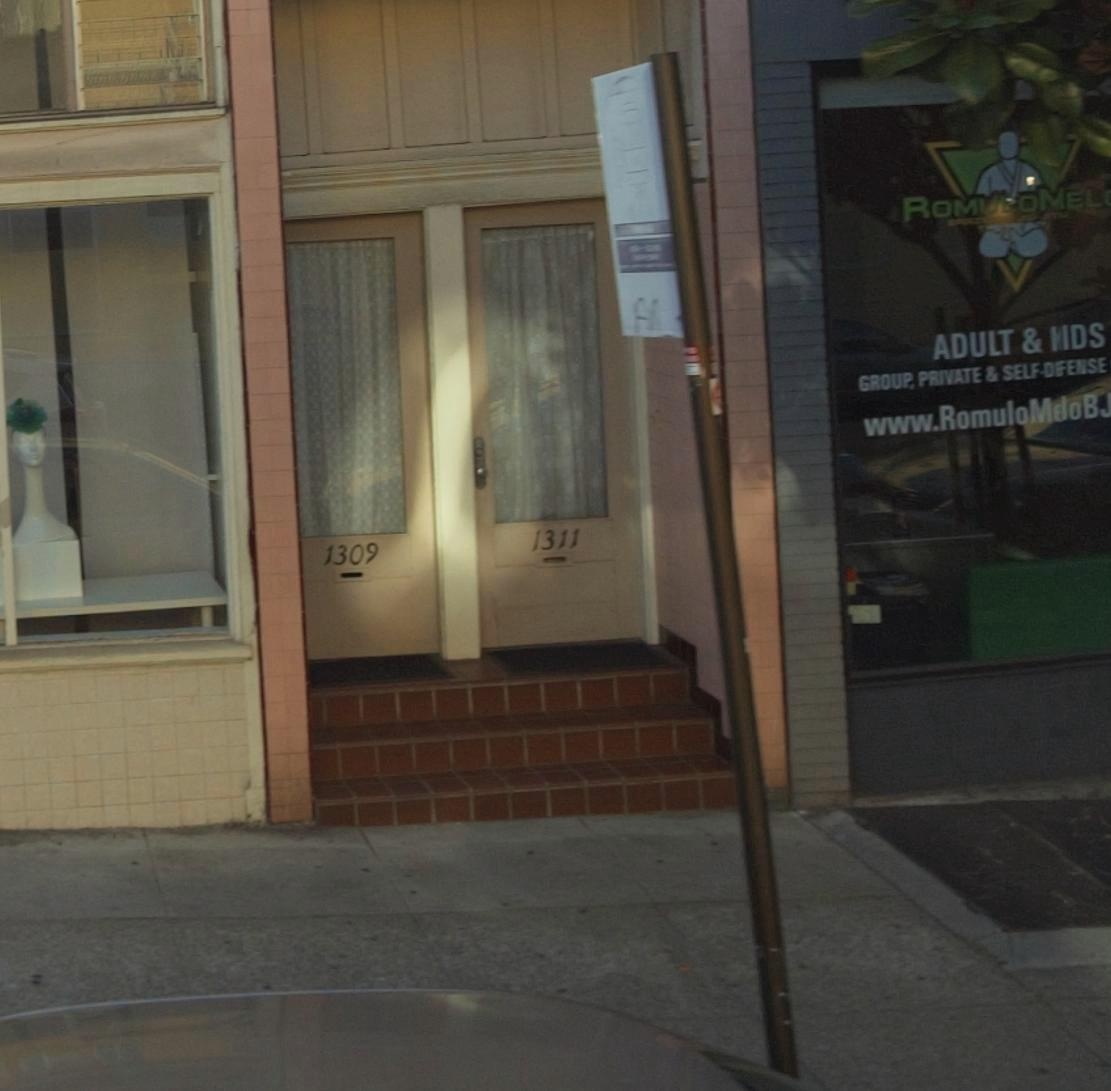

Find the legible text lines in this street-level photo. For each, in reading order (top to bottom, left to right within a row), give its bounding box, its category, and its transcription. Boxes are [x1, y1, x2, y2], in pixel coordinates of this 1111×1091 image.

[899, 184, 1106, 225] BusinessName: ROMULOMEL
[929, 321, 1107, 365] None: ADULT &*IDS
[855, 354, 1109, 396] None: GROUP, PRIVATE & SELF-D*ENSE
[861, 389, 1111, 442] None: www.RomuloM*oBJ
[320, 540, 383, 568] StreetNumber: 1309
[530, 526, 581, 551] StreetNumber: 1311